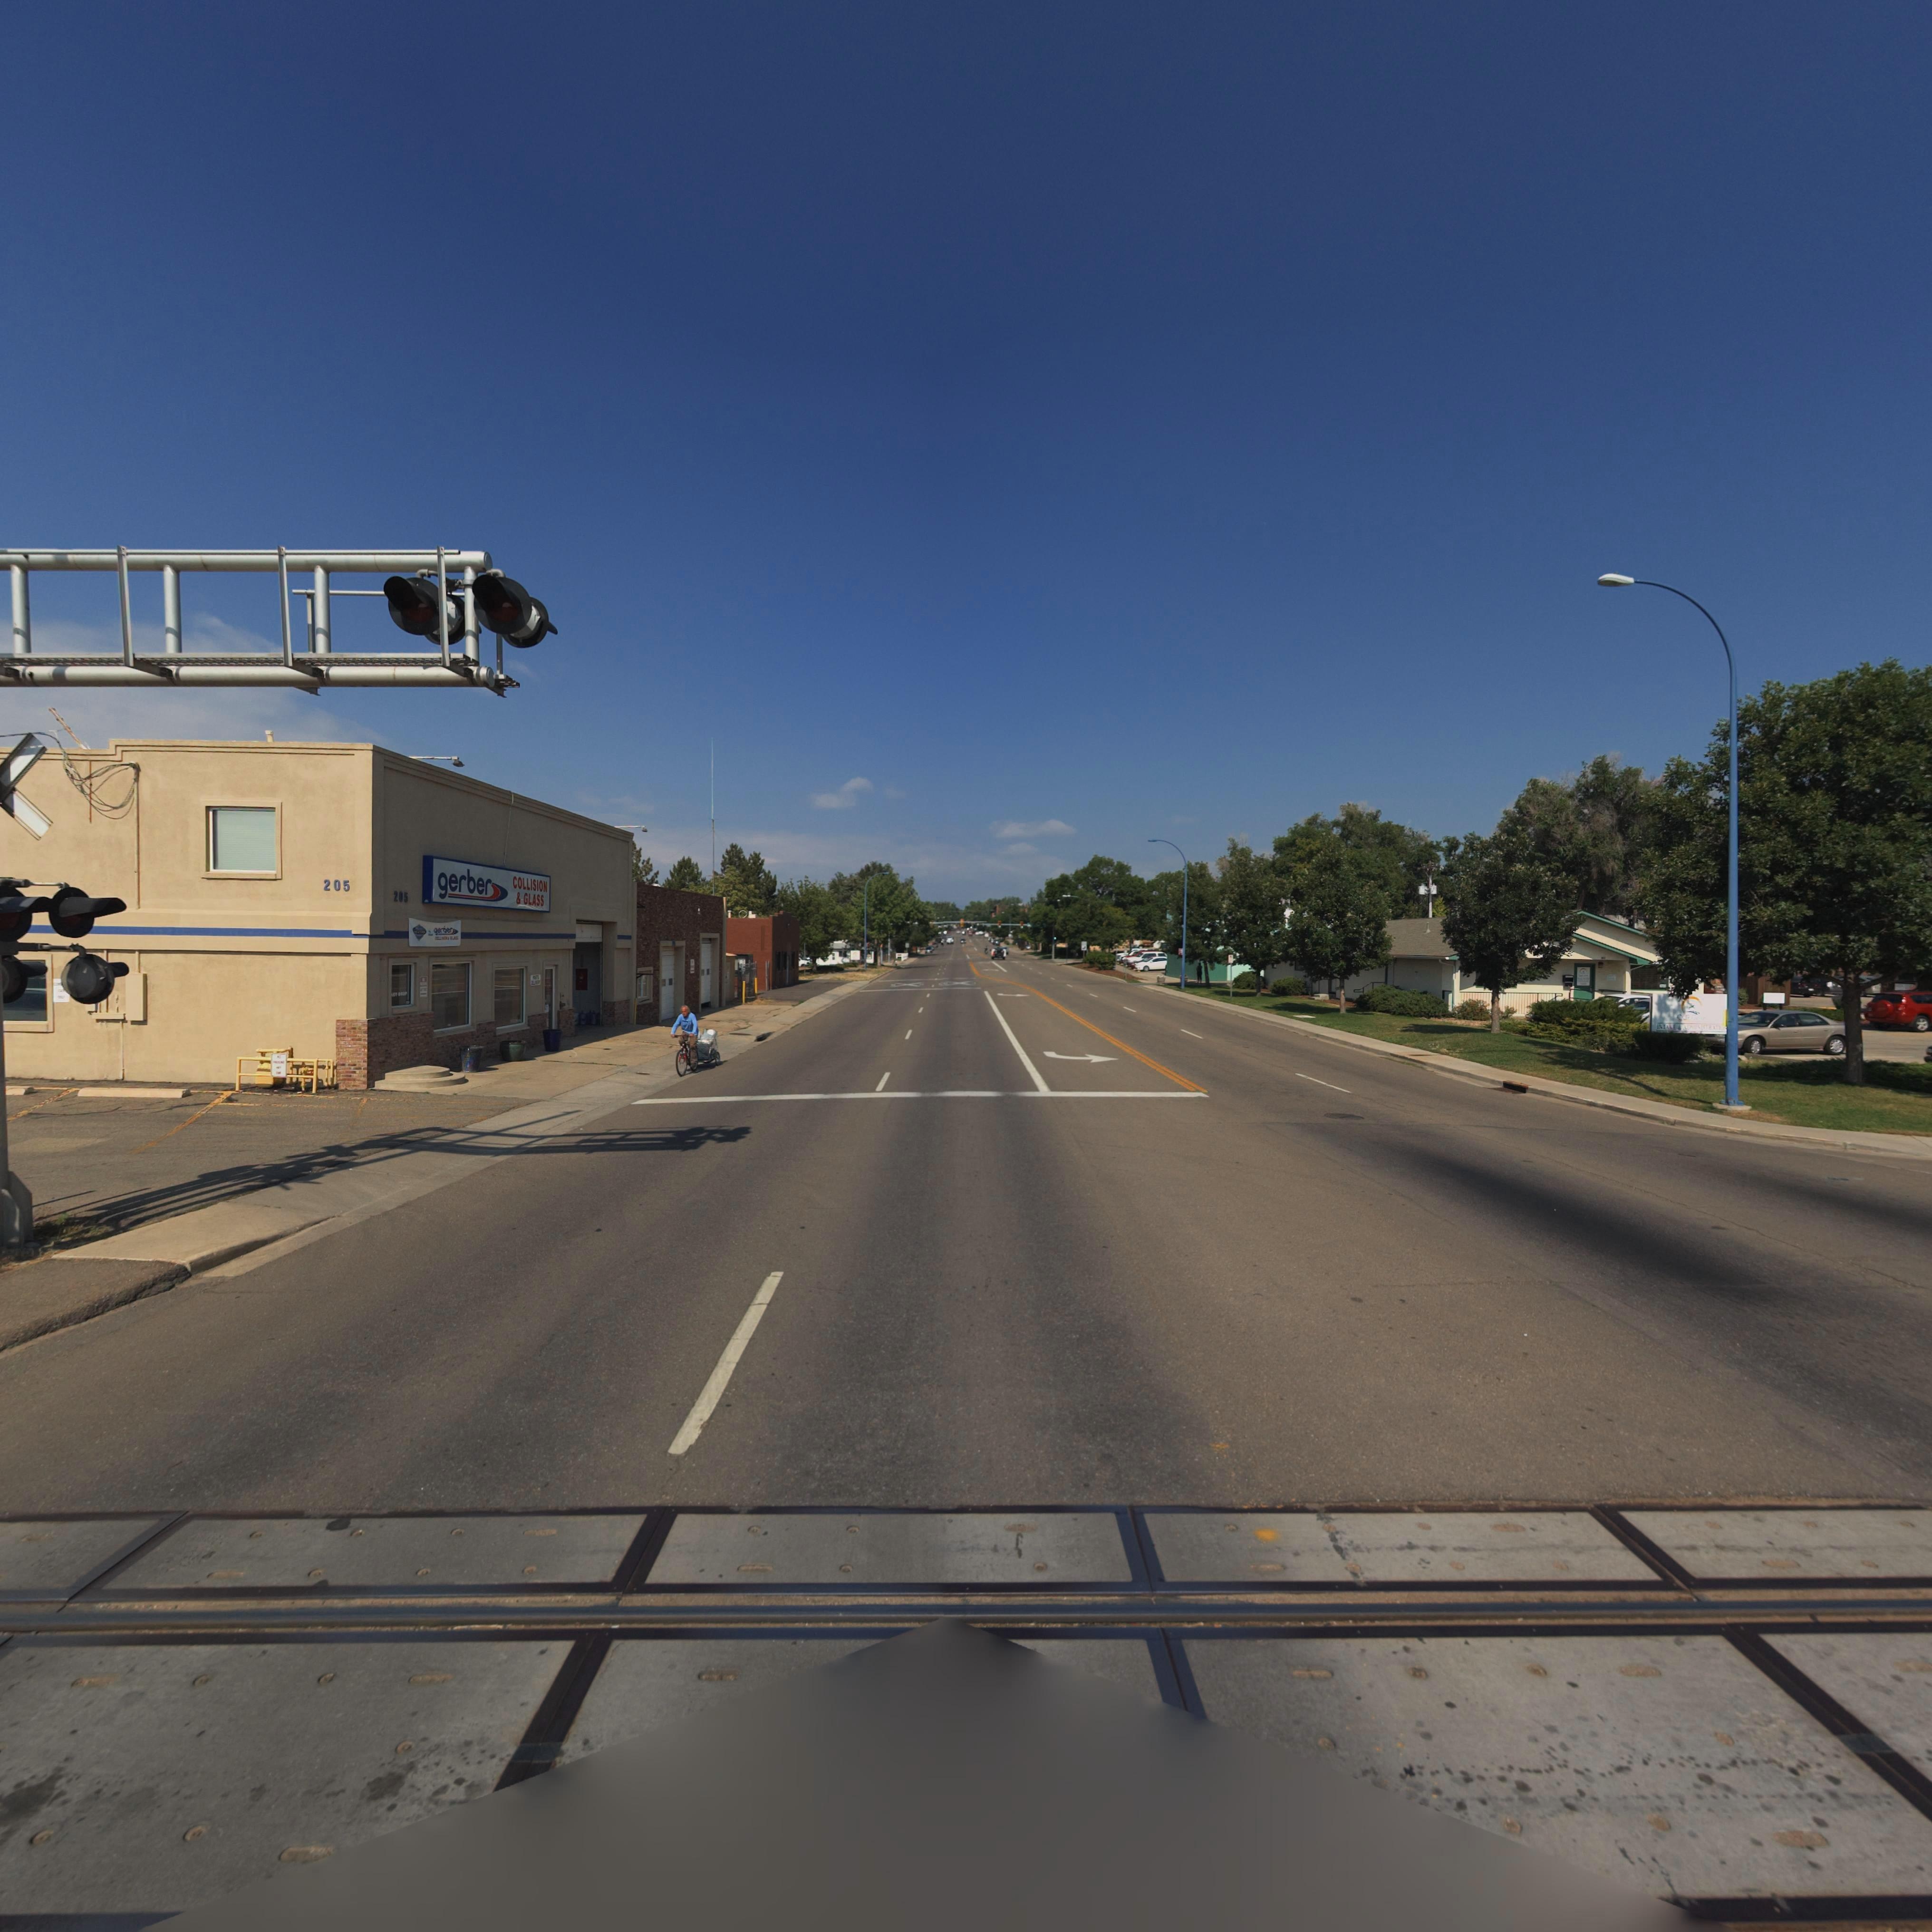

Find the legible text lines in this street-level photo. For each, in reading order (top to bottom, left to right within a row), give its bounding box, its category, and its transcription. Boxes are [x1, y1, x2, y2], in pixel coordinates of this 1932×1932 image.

[323, 879, 351, 891] StreetNumber: 205
[436, 868, 493, 900] BusinessName: gerber
[512, 876, 547, 893] BusinessName: COLLISION
[393, 890, 409, 903] StreetNumber: 205
[515, 891, 545, 907] BusinessName: & GLASS
[433, 925, 453, 936] BusinessName: ger*er
[435, 936, 459, 940] BusinessName: COLL****** * ***SS
[1677, 1014, 1708, 1021] BusinessName: OU* ******